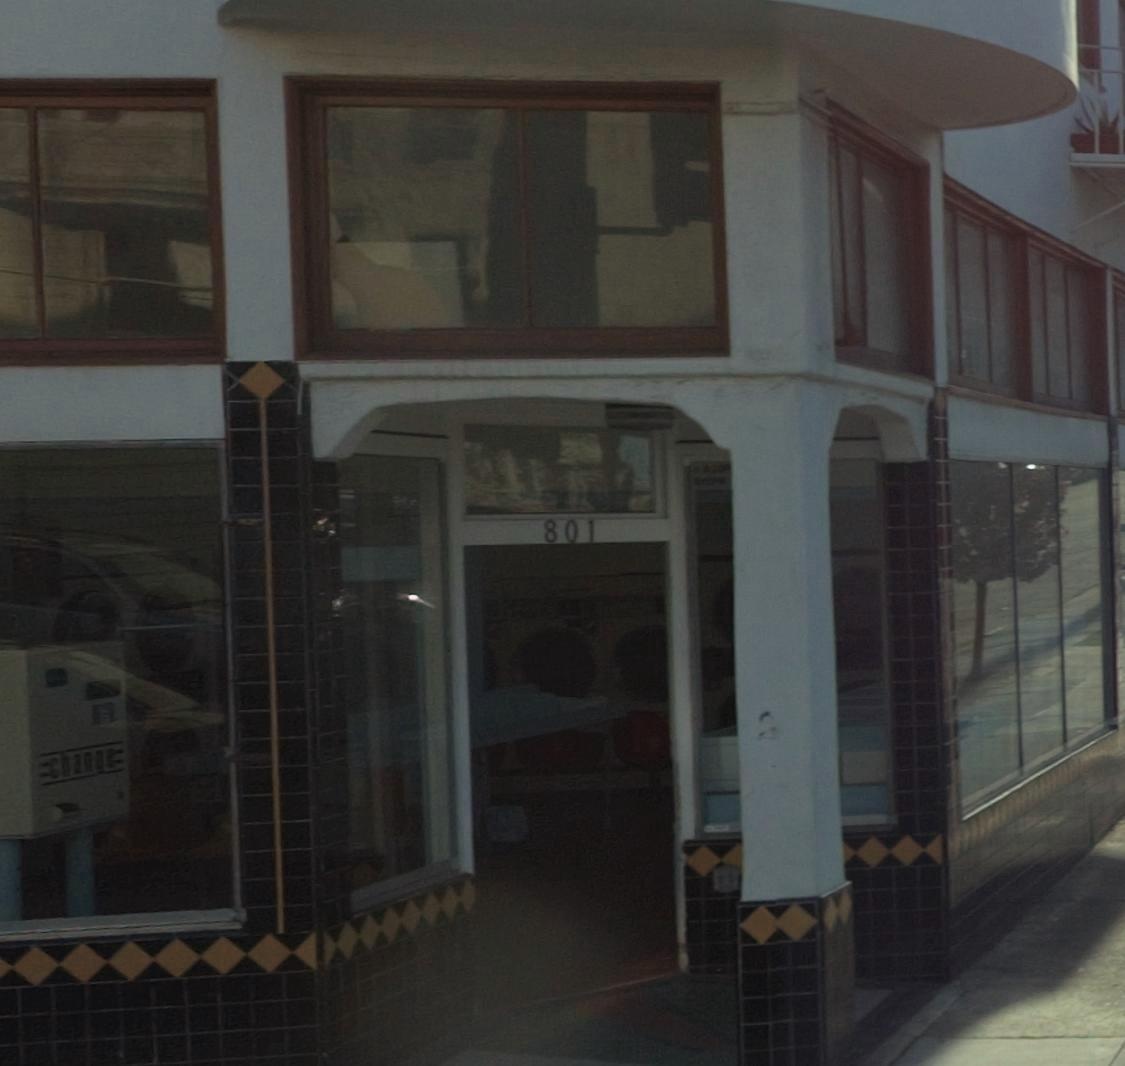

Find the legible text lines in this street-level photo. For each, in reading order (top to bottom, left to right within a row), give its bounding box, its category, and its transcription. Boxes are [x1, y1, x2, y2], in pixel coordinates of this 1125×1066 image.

[541, 517, 597, 545] StreetNumber: 801